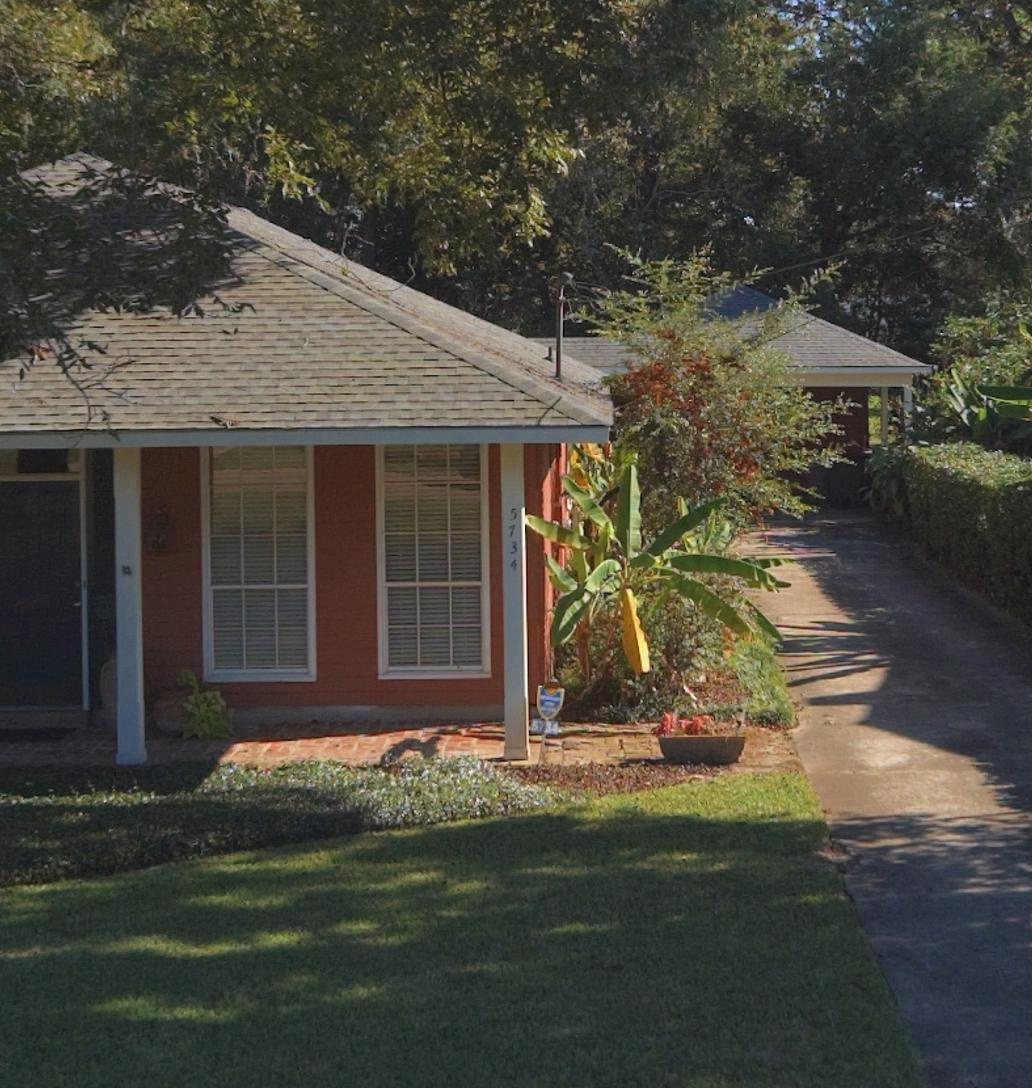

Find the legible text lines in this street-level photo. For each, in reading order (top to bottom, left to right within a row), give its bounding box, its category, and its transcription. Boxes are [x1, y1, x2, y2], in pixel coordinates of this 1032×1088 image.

[506, 504, 520, 573] StreetNumber: 5734
[530, 718, 559, 735] StreetNumber: 5734